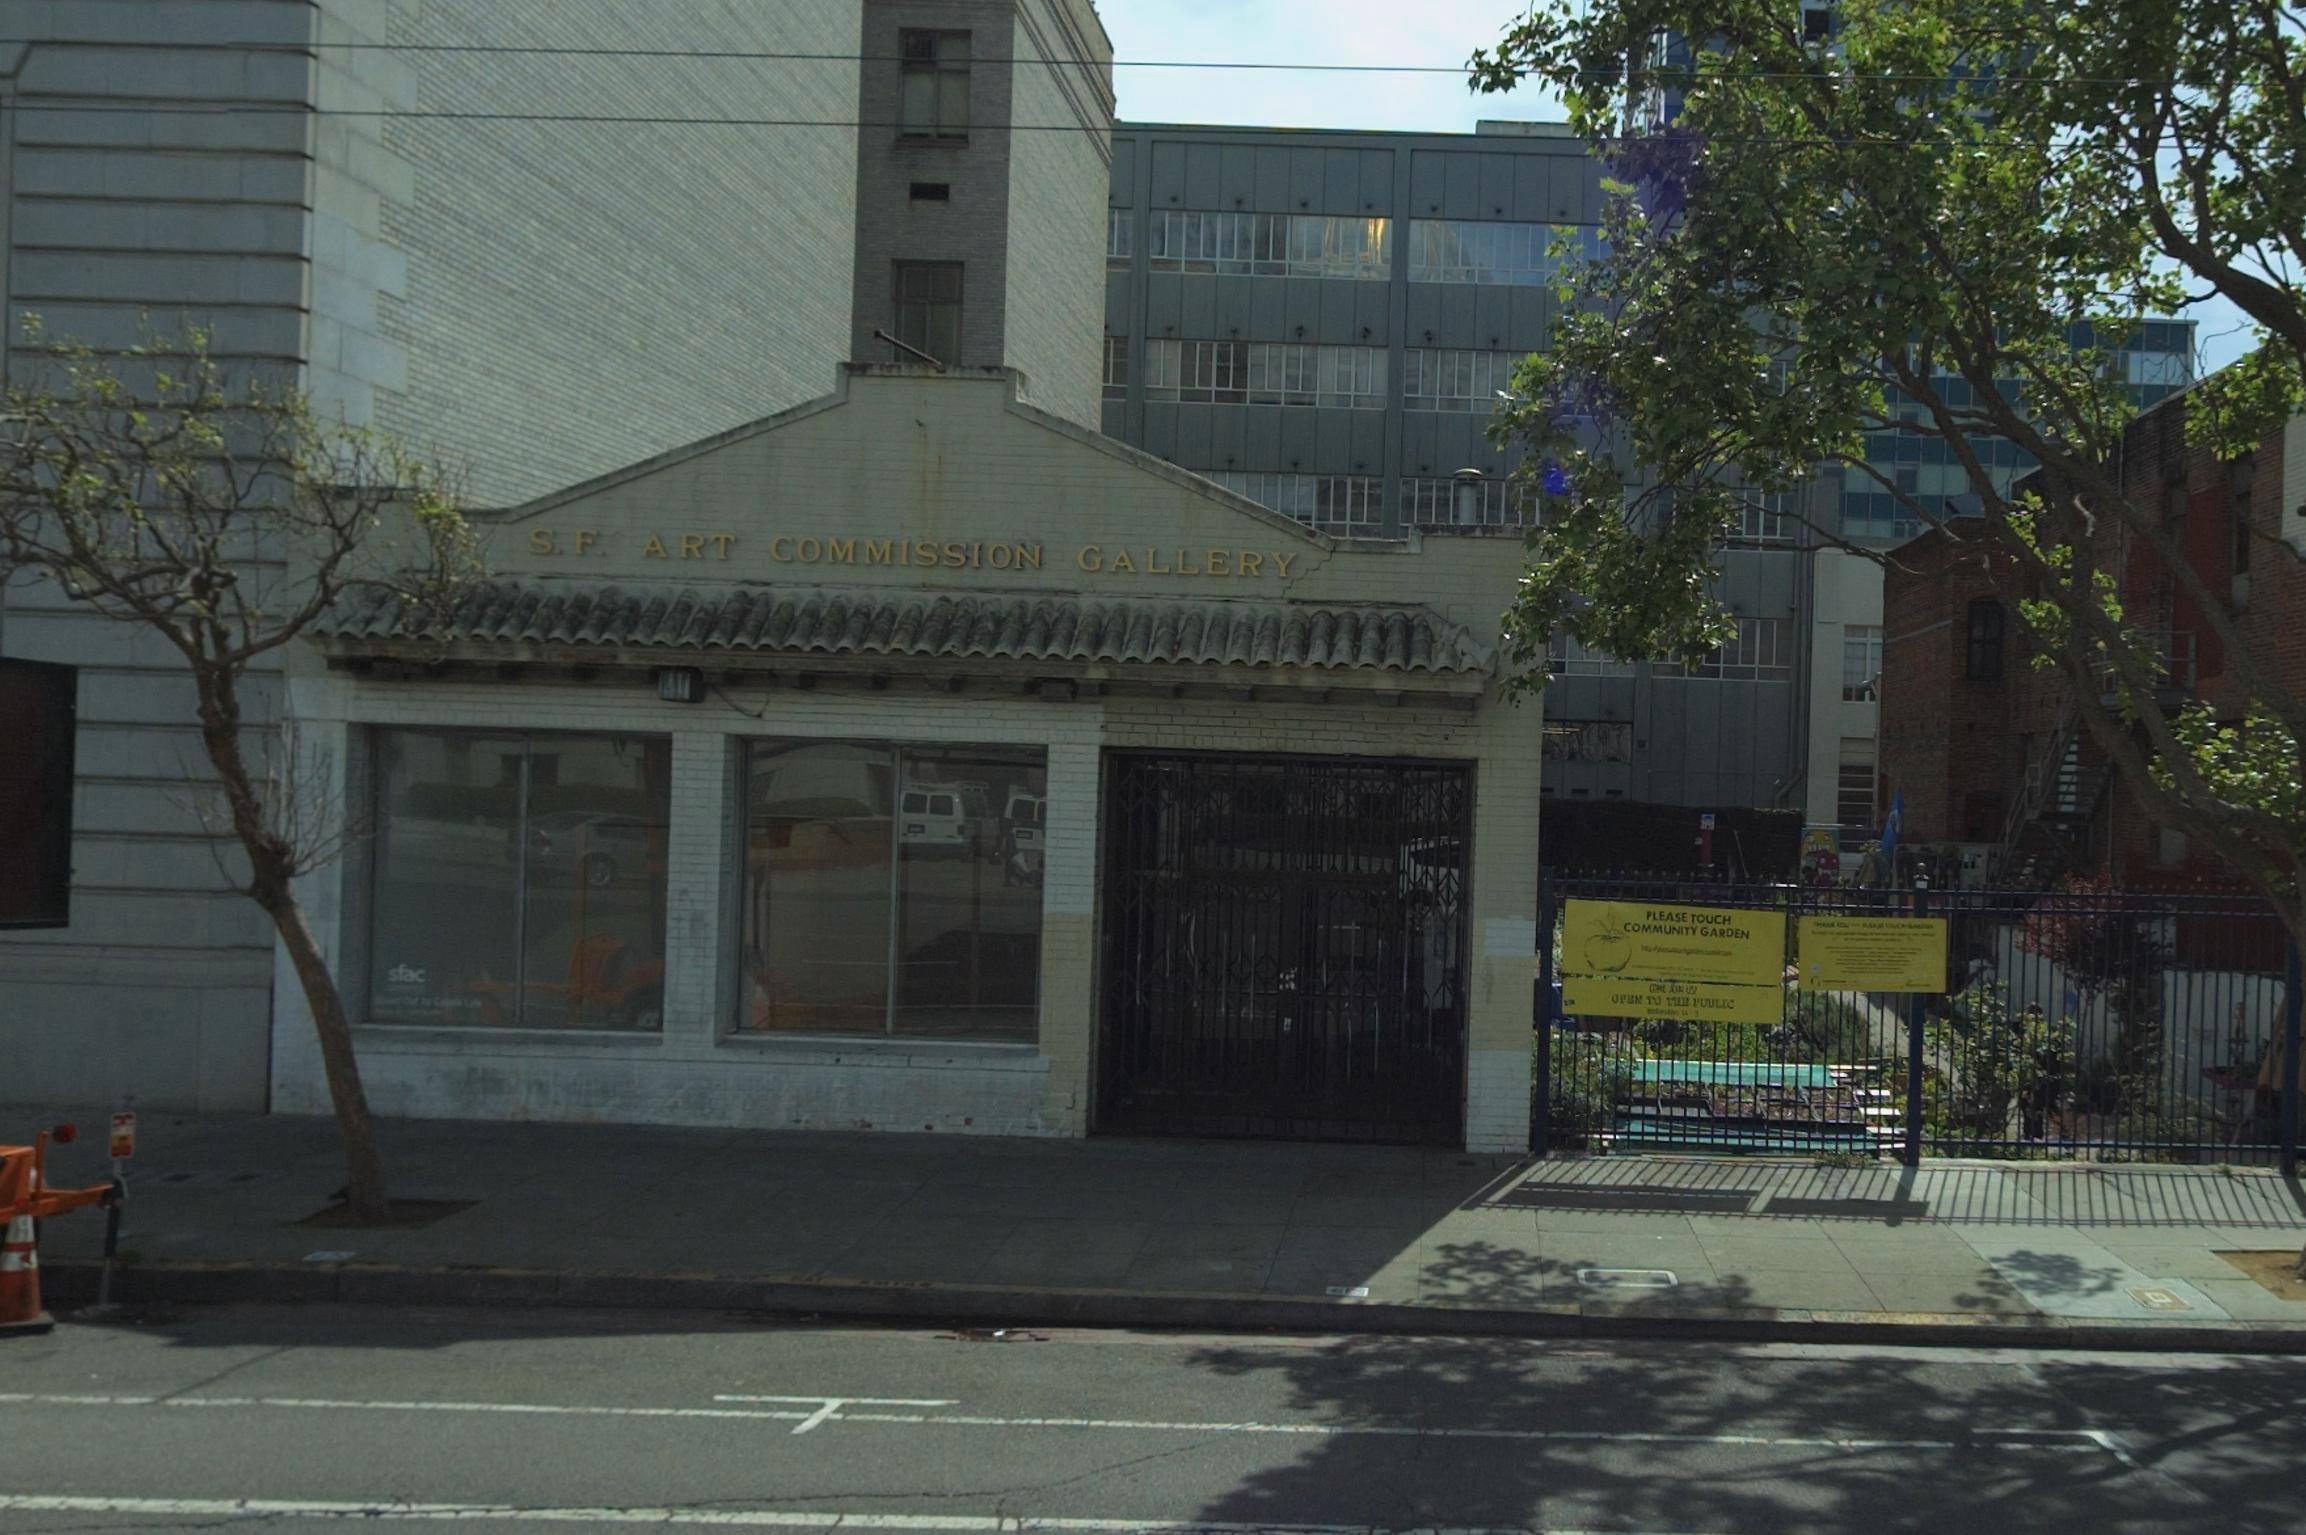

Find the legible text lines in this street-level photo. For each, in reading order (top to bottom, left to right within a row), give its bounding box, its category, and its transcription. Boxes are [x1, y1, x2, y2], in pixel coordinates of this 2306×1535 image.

[524, 525, 1303, 581] BusinessName: S.F. ART COMMISSION GALLERY
[1644, 909, 1732, 927] BusinessName: PLEASE TOUCH
[1620, 920, 1751, 944] BusinessName: COMMUNITY GARDEN
[385, 959, 428, 986] None: sfac
[1608, 991, 1736, 1012] None: OPEN TO THE PUBLIC